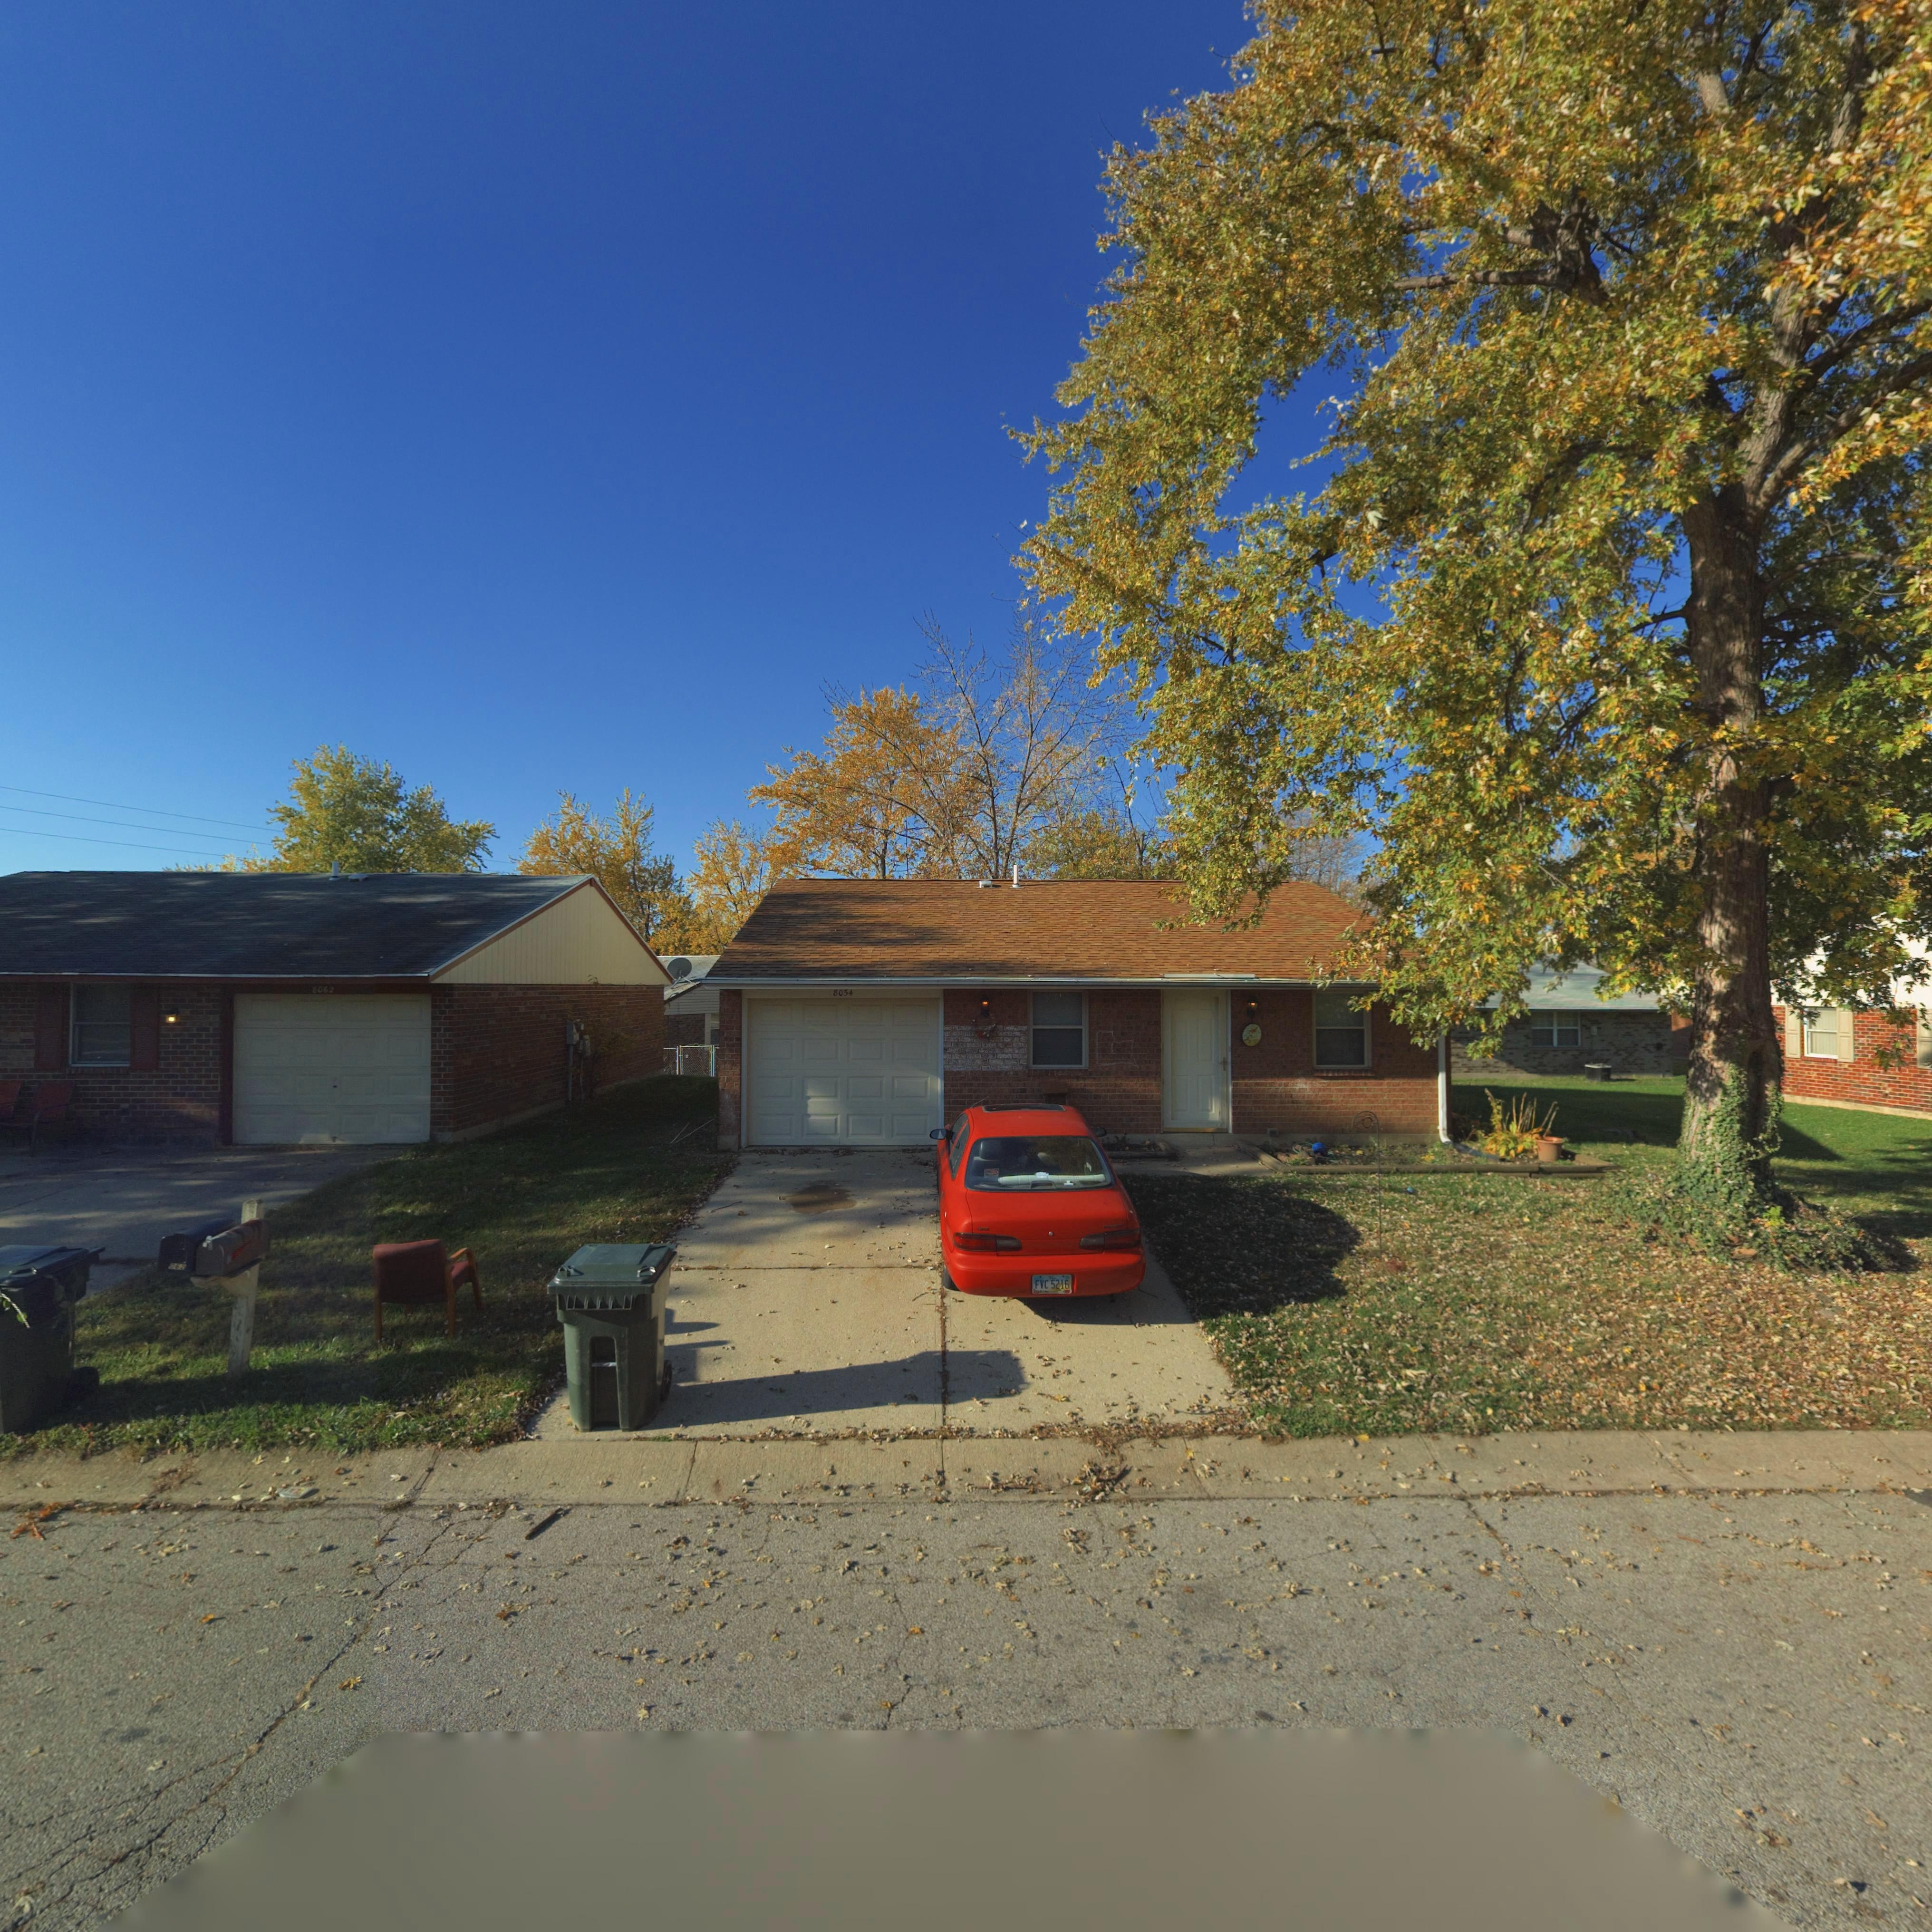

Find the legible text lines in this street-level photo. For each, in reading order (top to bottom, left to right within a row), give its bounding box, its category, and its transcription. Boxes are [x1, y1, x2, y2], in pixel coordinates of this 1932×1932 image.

[310, 985, 336, 995] StreetNumber: 8062
[831, 988, 854, 998] StreetNumber: 8054
[167, 1262, 187, 1271] StreetNumber: *6*